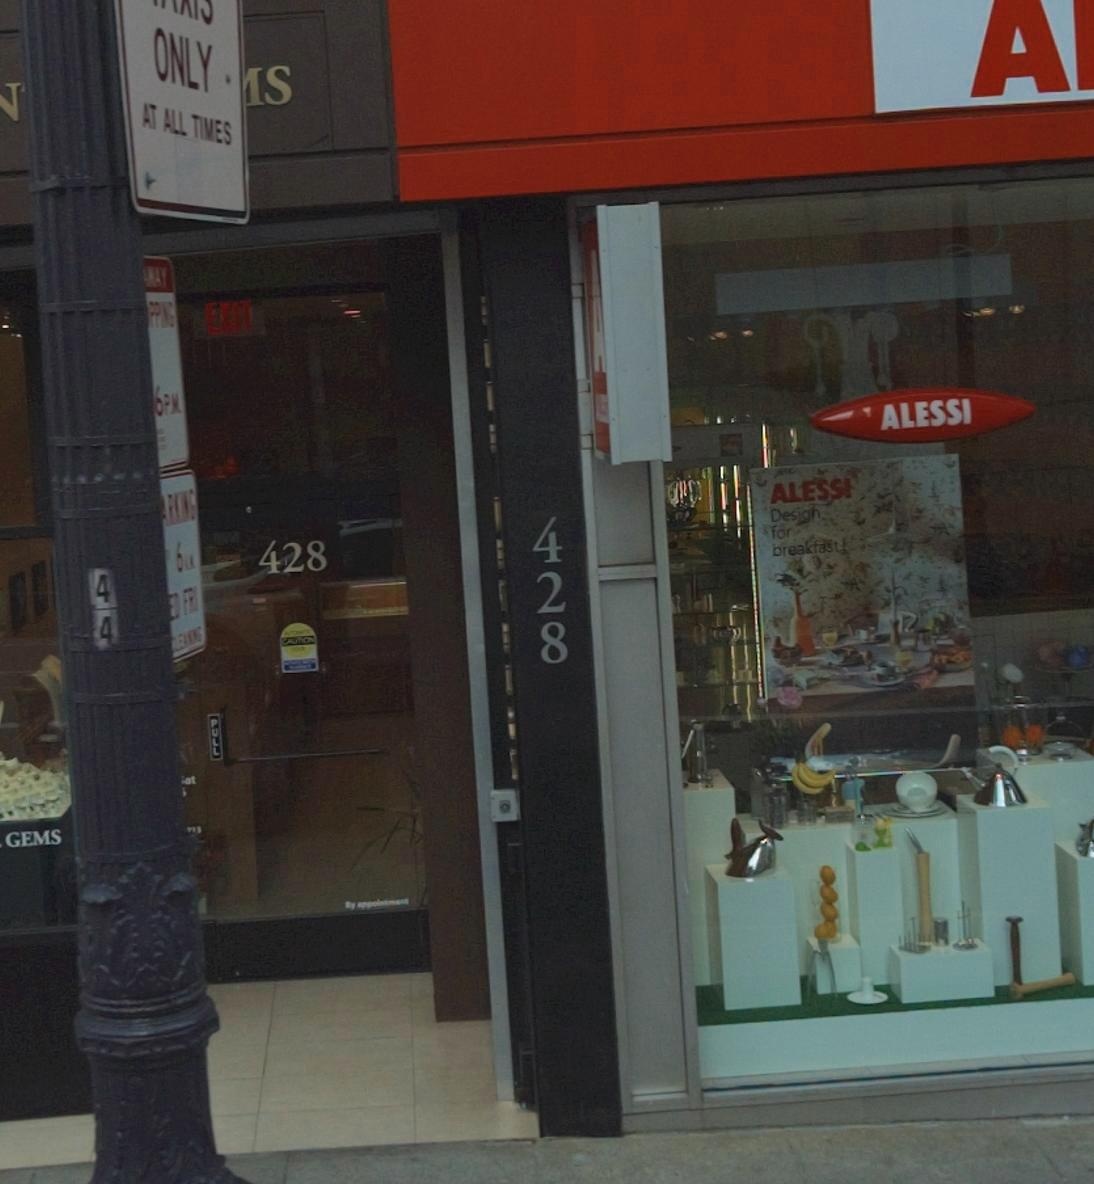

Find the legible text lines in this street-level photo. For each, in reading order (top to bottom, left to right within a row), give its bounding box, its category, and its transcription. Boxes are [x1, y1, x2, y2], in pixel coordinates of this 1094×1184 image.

[146, 20, 218, 100] None: ONLY
[258, 58, 298, 114] BusinessName: S
[135, 95, 236, 154] None: AT ALL TIMES
[149, 263, 172, 291] None: WAY
[146, 297, 180, 333] None: PPING
[203, 298, 224, 340] None: E*
[586, 245, 612, 381] None: A
[148, 380, 184, 421] None: 6 P.M.
[875, 393, 977, 438] BusinessName: ALESSI
[173, 535, 187, 577] None: 6
[164, 483, 199, 530] None: RKING
[253, 532, 332, 580] StreetNumber: 428
[768, 522, 798, 545] None: for
[768, 502, 825, 528] None: Design
[769, 535, 845, 561] None: breakfast
[769, 473, 854, 508] None: ALESSI
[91, 569, 116, 650] None: 44
[179, 580, 203, 619] None: FRI
[526, 510, 575, 672] StreetNumber: 428
[171, 621, 207, 657] None: LEANING
[279, 634, 317, 647] None: CAUTION
[207, 714, 222, 762] None: PULL
[183, 773, 198, 789] None: ot
[2, 824, 67, 854] None: GEMS